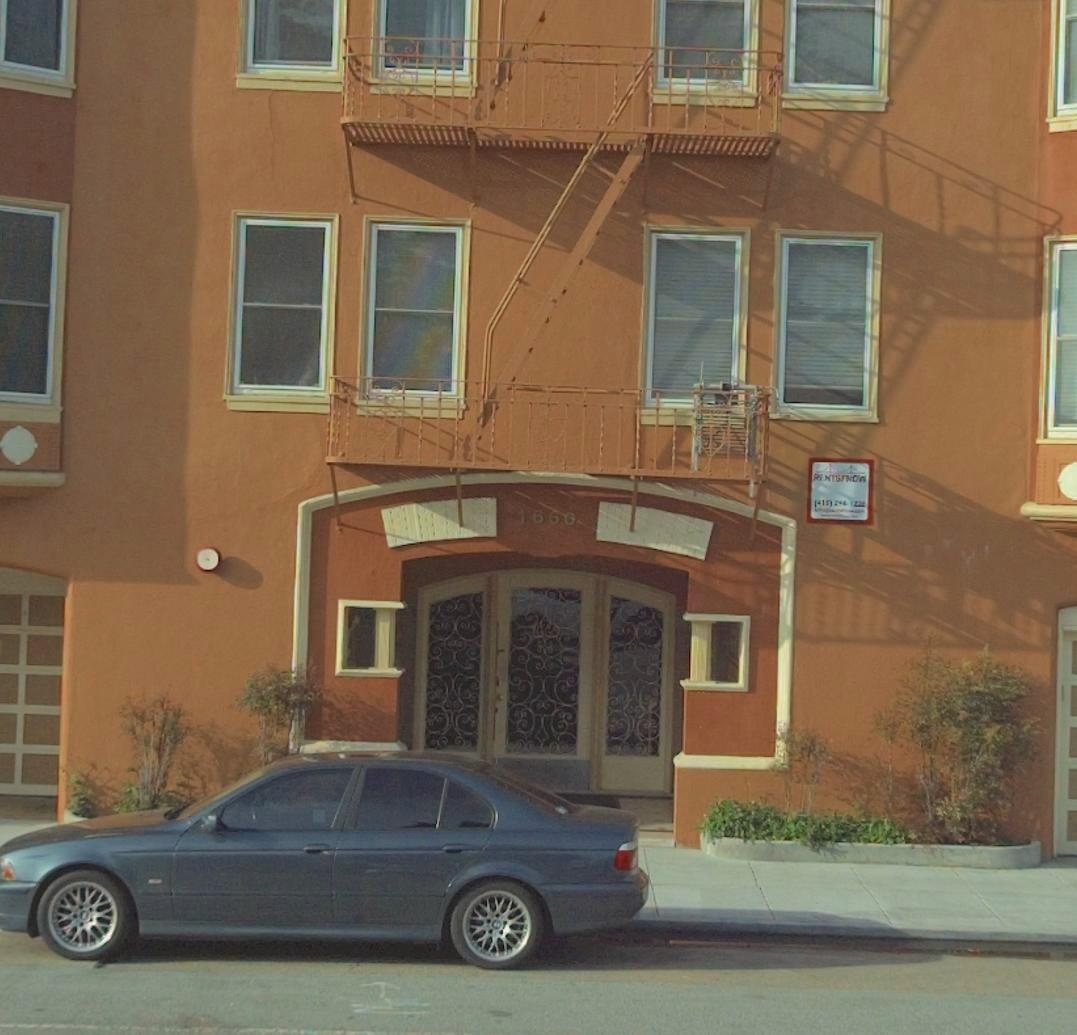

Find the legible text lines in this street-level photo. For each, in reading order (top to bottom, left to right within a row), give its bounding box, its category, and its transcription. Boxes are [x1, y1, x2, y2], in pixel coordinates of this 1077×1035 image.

[814, 497, 832, 509] None: 415
[518, 506, 577, 529] StreetNumber: 1666